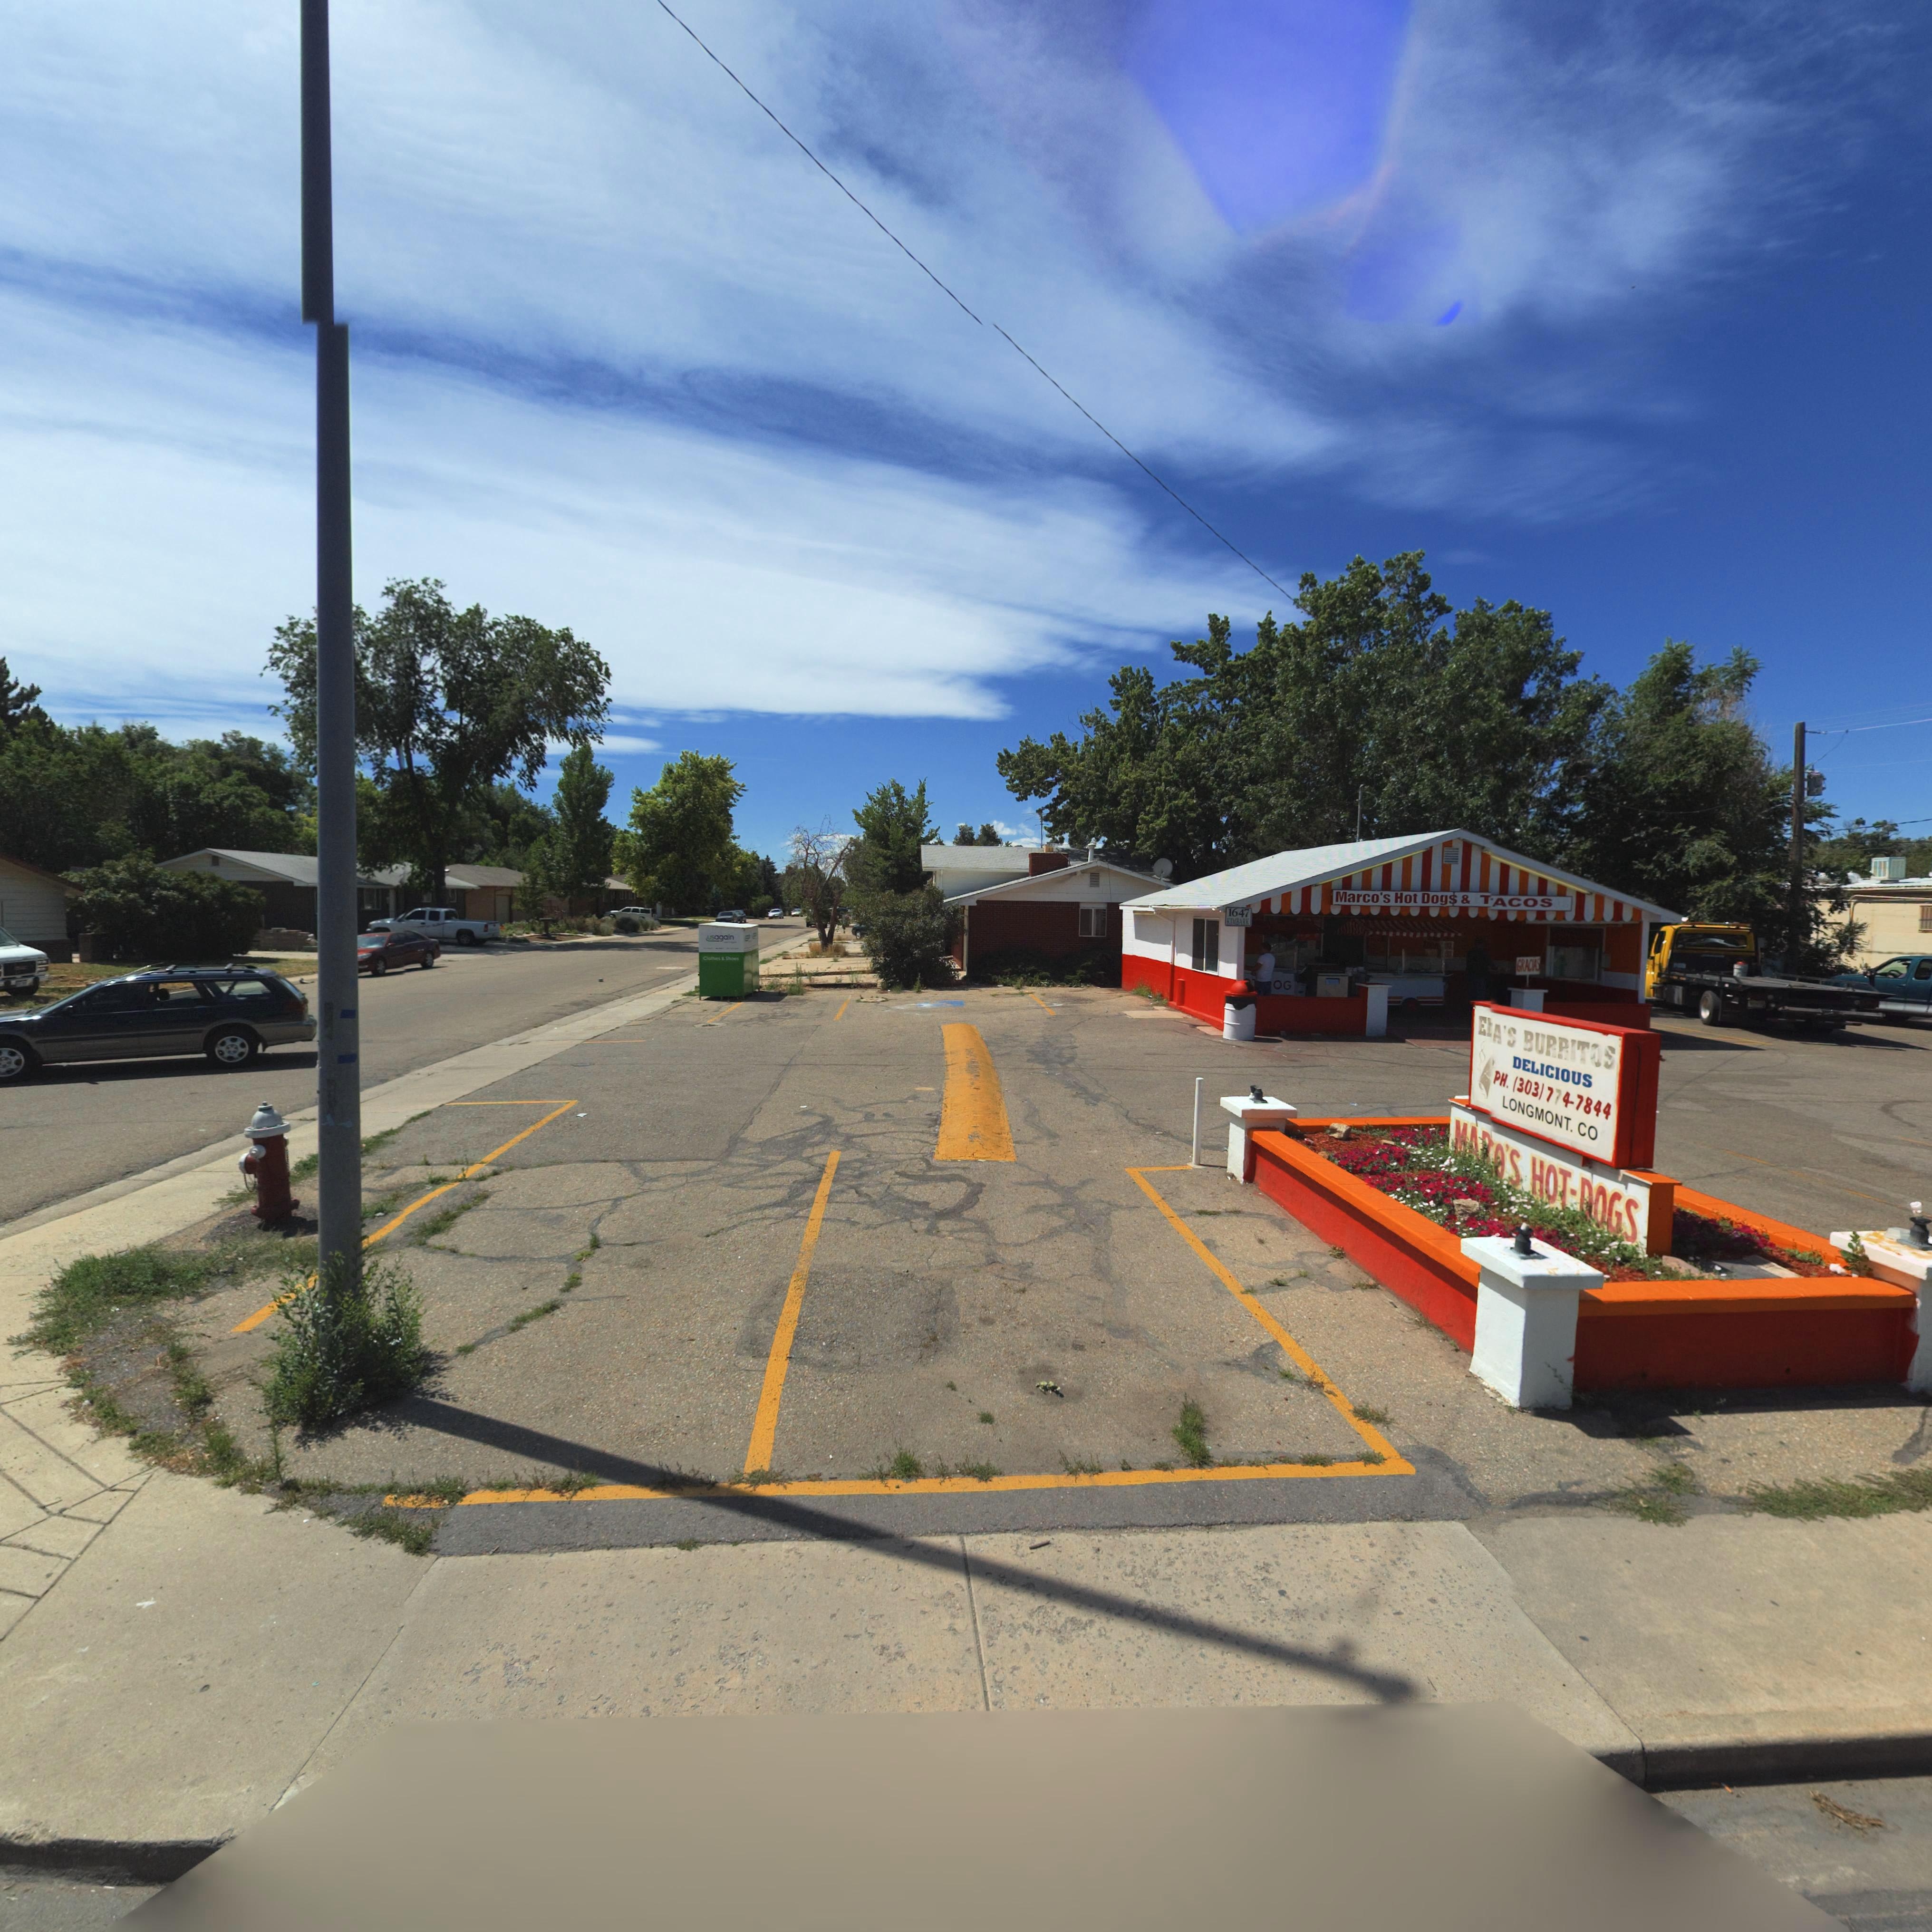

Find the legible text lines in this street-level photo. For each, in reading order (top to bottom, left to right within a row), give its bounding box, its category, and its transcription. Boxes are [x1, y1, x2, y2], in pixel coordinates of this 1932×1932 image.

[1226, 917, 1250, 925] StreetName: KIMBARK
[1228, 908, 1250, 918] StreetNumber: 1647
[1334, 890, 1553, 908] BusinessName: Marco's Hot Dog$ & TACOS
[1477, 1014, 1617, 1072] BusinessName: E*A'S BURRITOS
[1512, 1055, 1593, 1088] BusinessName: DELICOUS
[1452, 1116, 1641, 1245] BusinessName: M***O*S HOT*DOGS